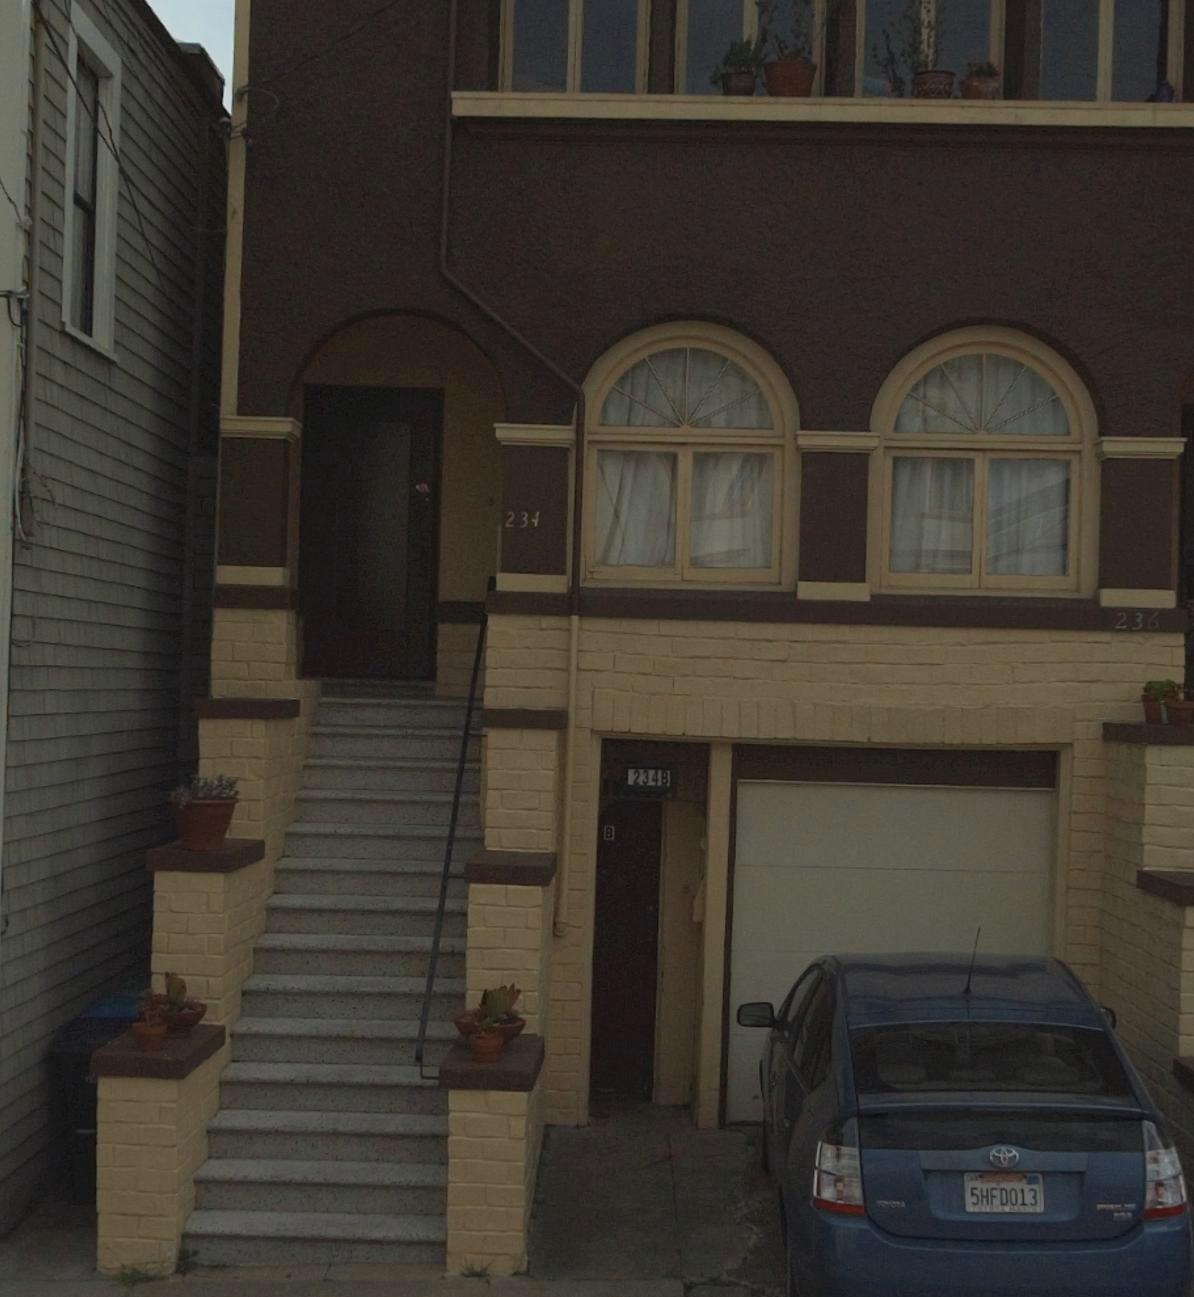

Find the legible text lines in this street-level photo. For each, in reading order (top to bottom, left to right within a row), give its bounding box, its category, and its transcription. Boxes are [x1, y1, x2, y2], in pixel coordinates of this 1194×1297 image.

[504, 510, 543, 529] StreetNumber: 234
[632, 768, 669, 787] StreetNumber: 234B
[605, 825, 614, 840] StreetNumber: B
[969, 1185, 1040, 1208] None: 5HFD013